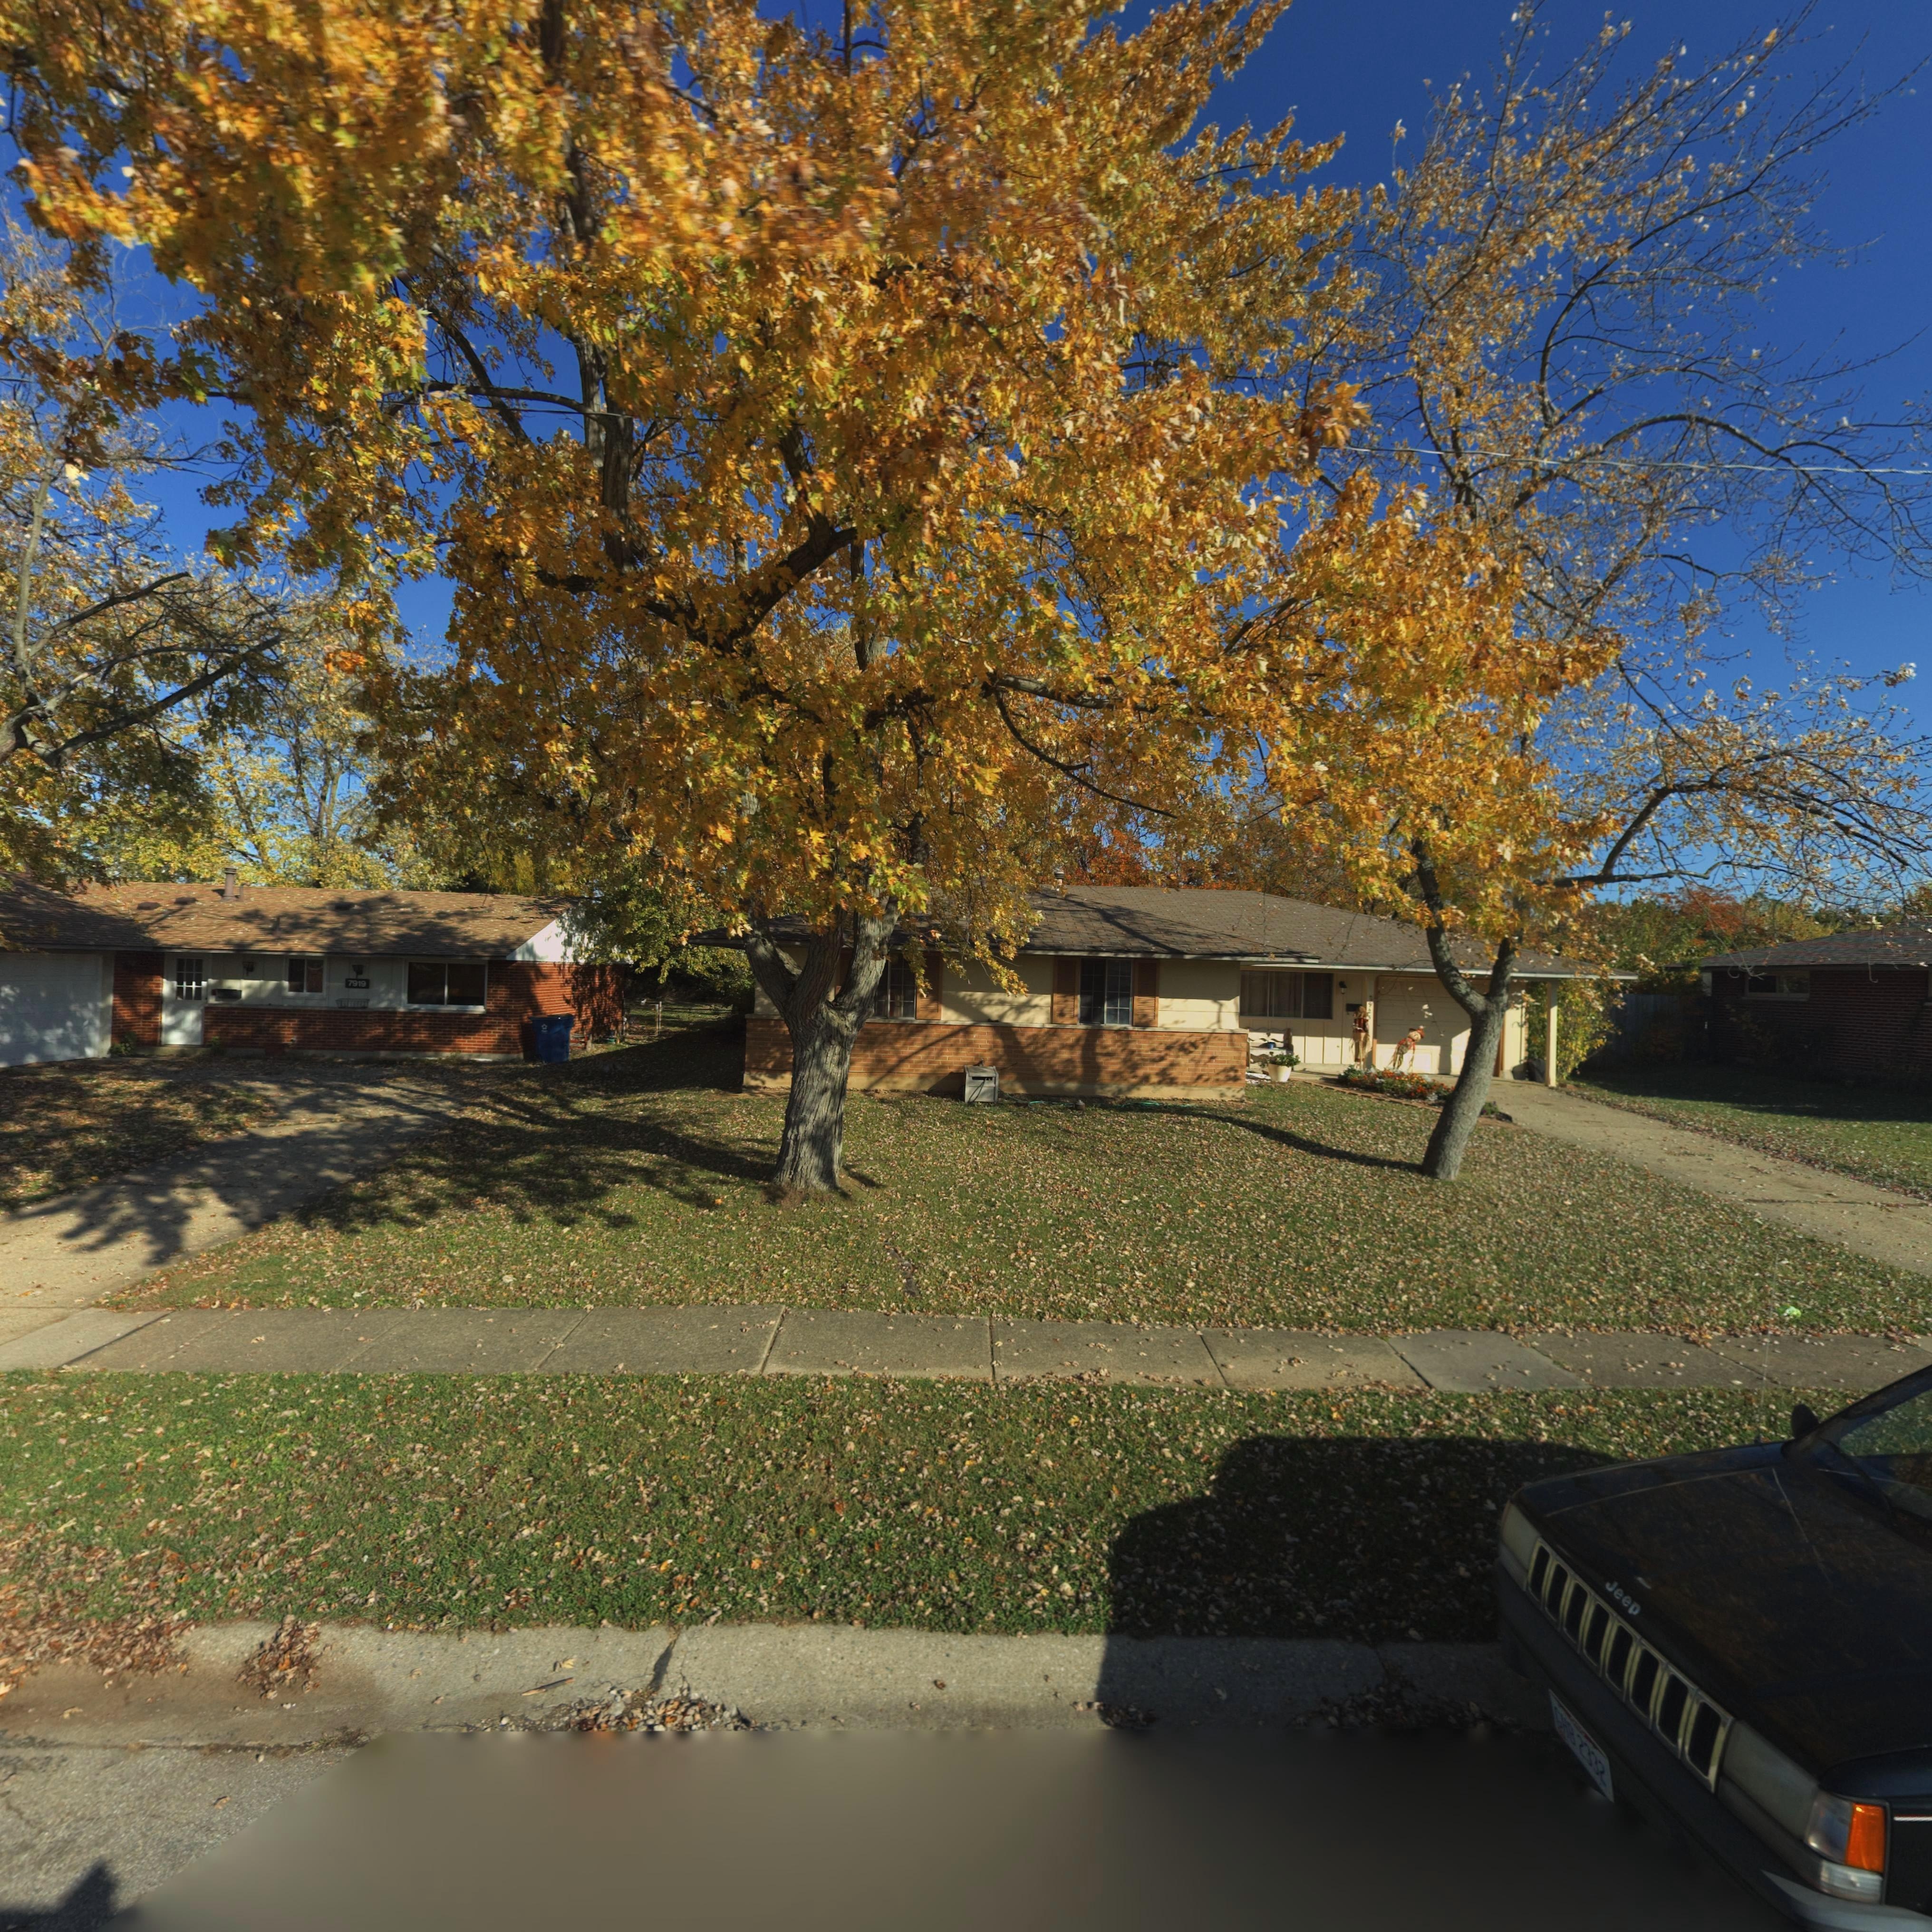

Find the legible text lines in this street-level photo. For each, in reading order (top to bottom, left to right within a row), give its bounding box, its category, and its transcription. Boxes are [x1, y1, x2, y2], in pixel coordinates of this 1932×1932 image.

[347, 979, 367, 988] StreetNumber: 7919
[1366, 994, 1374, 1022] StreetNumber: *9**